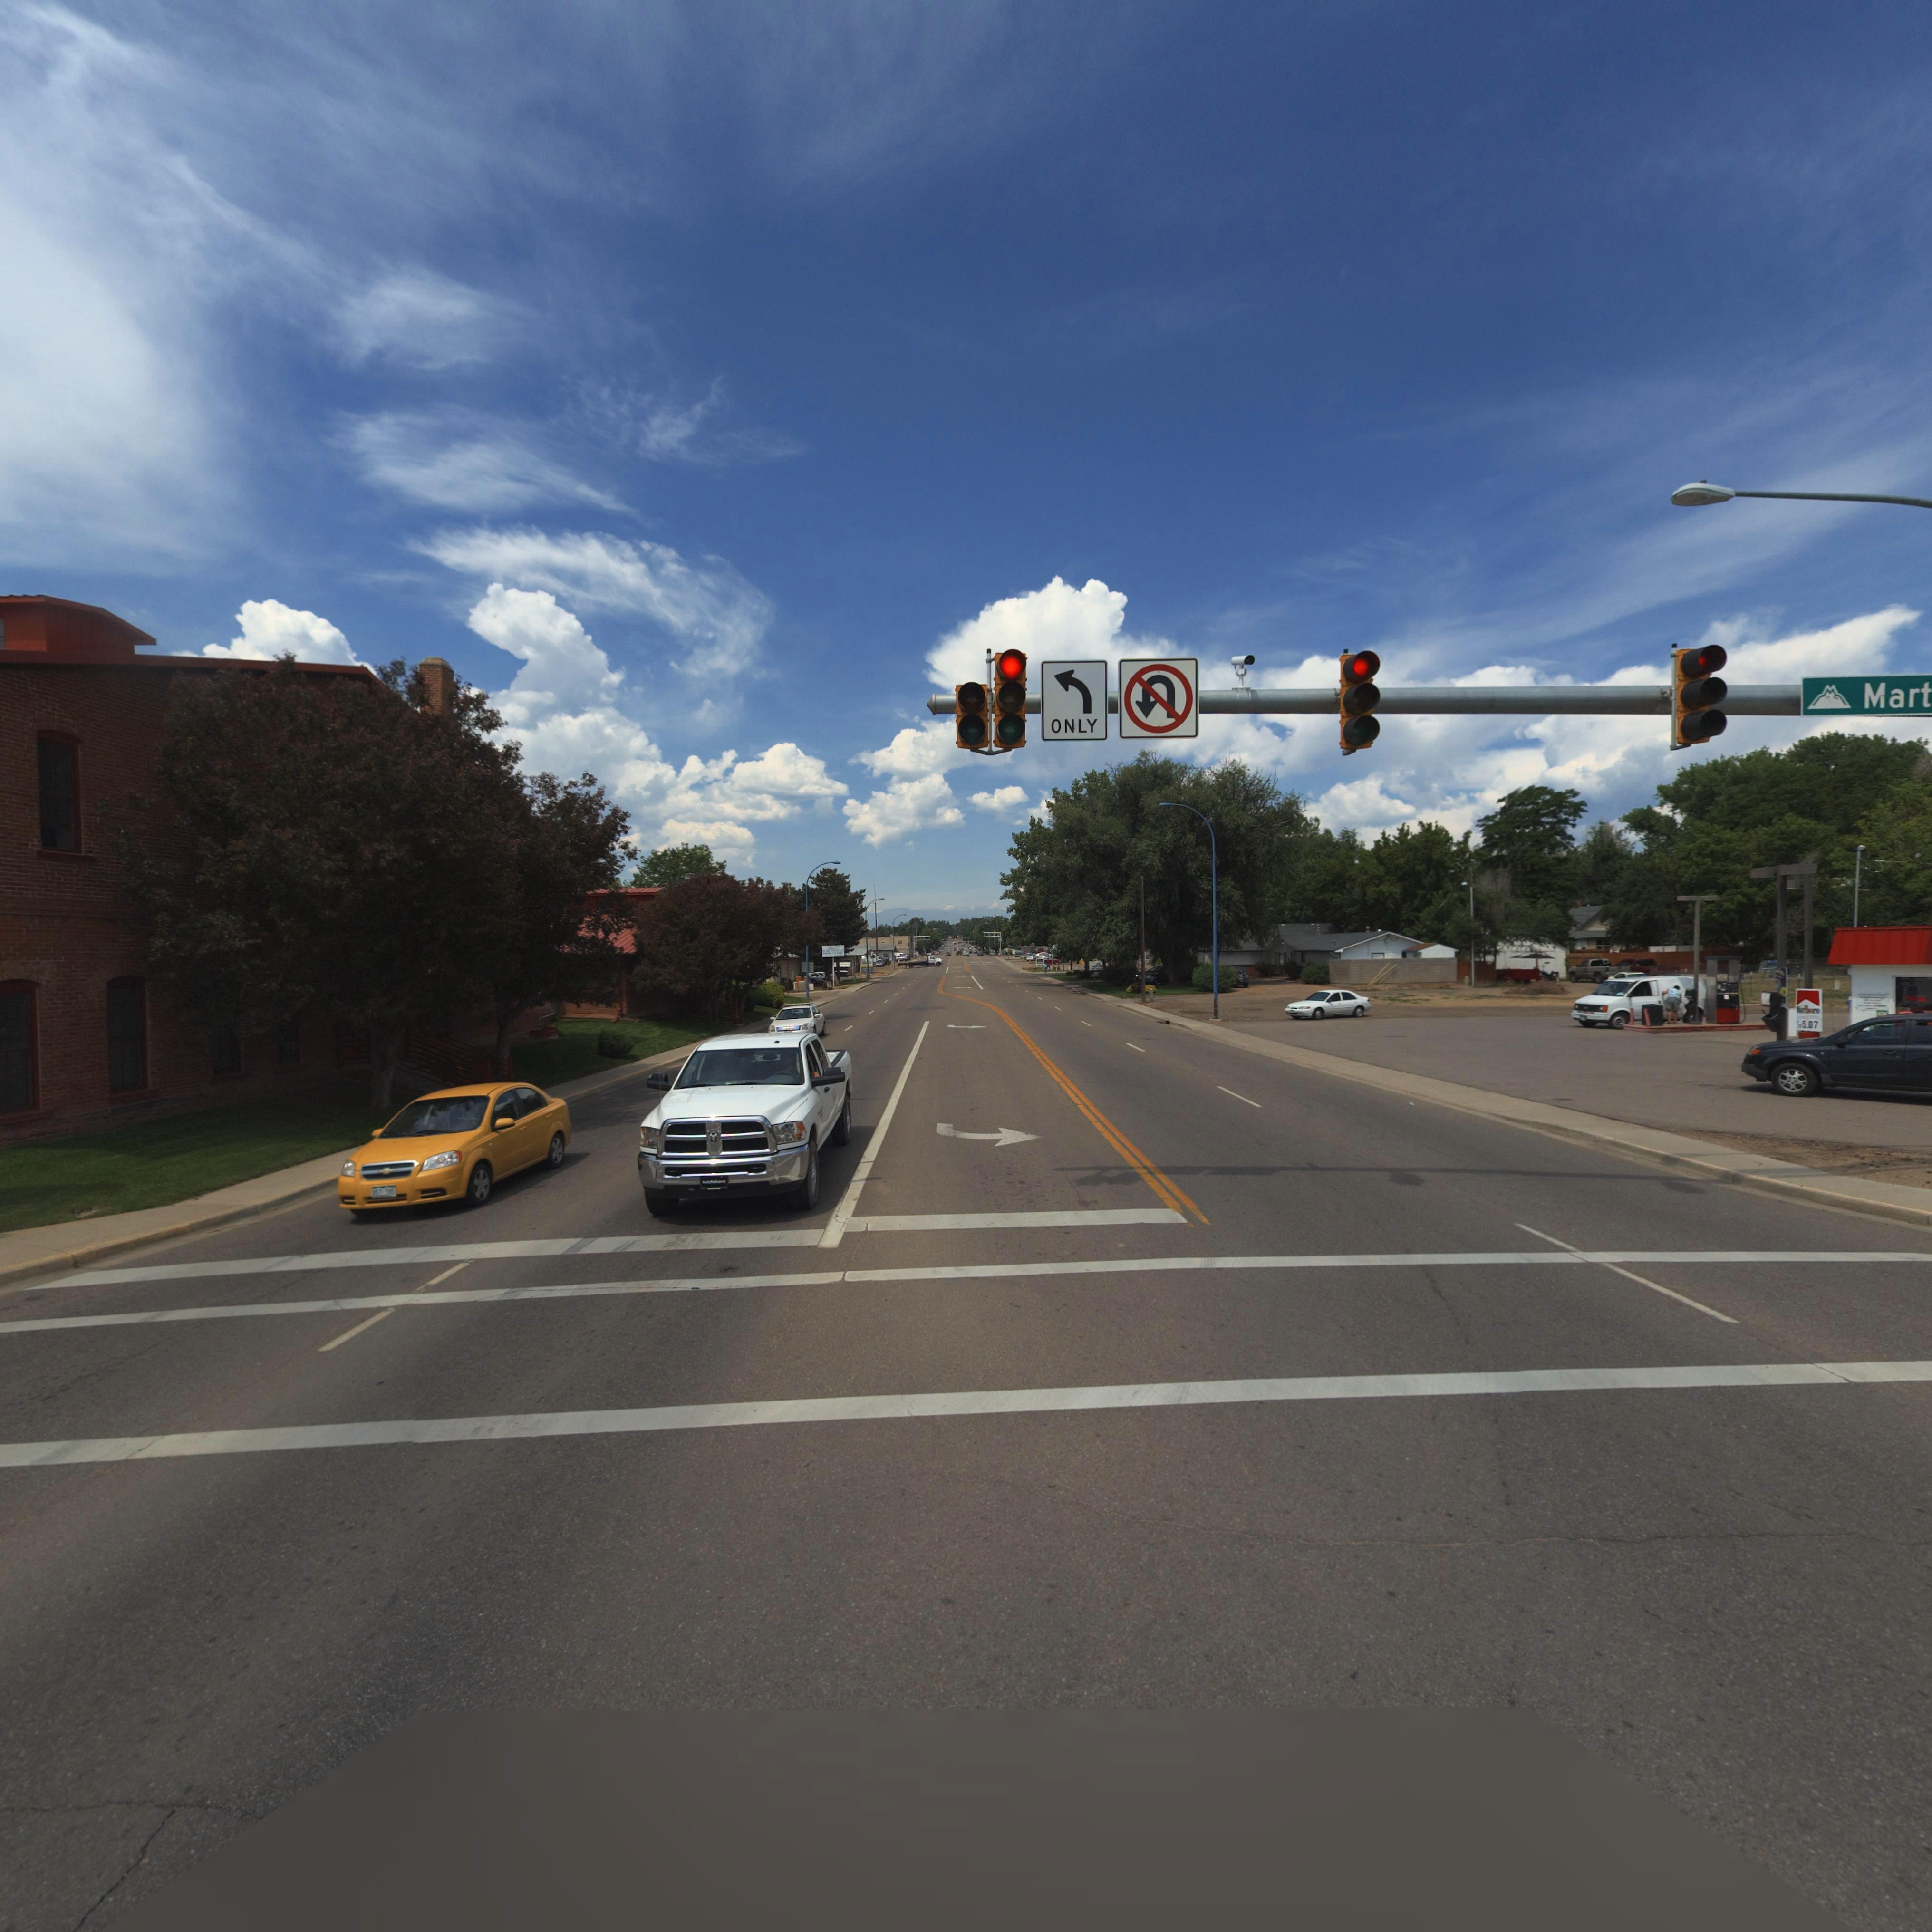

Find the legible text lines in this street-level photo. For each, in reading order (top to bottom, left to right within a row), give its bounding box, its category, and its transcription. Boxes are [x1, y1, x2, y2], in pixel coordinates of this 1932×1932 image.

[1861, 679, 1931, 712] StreetName: Mart